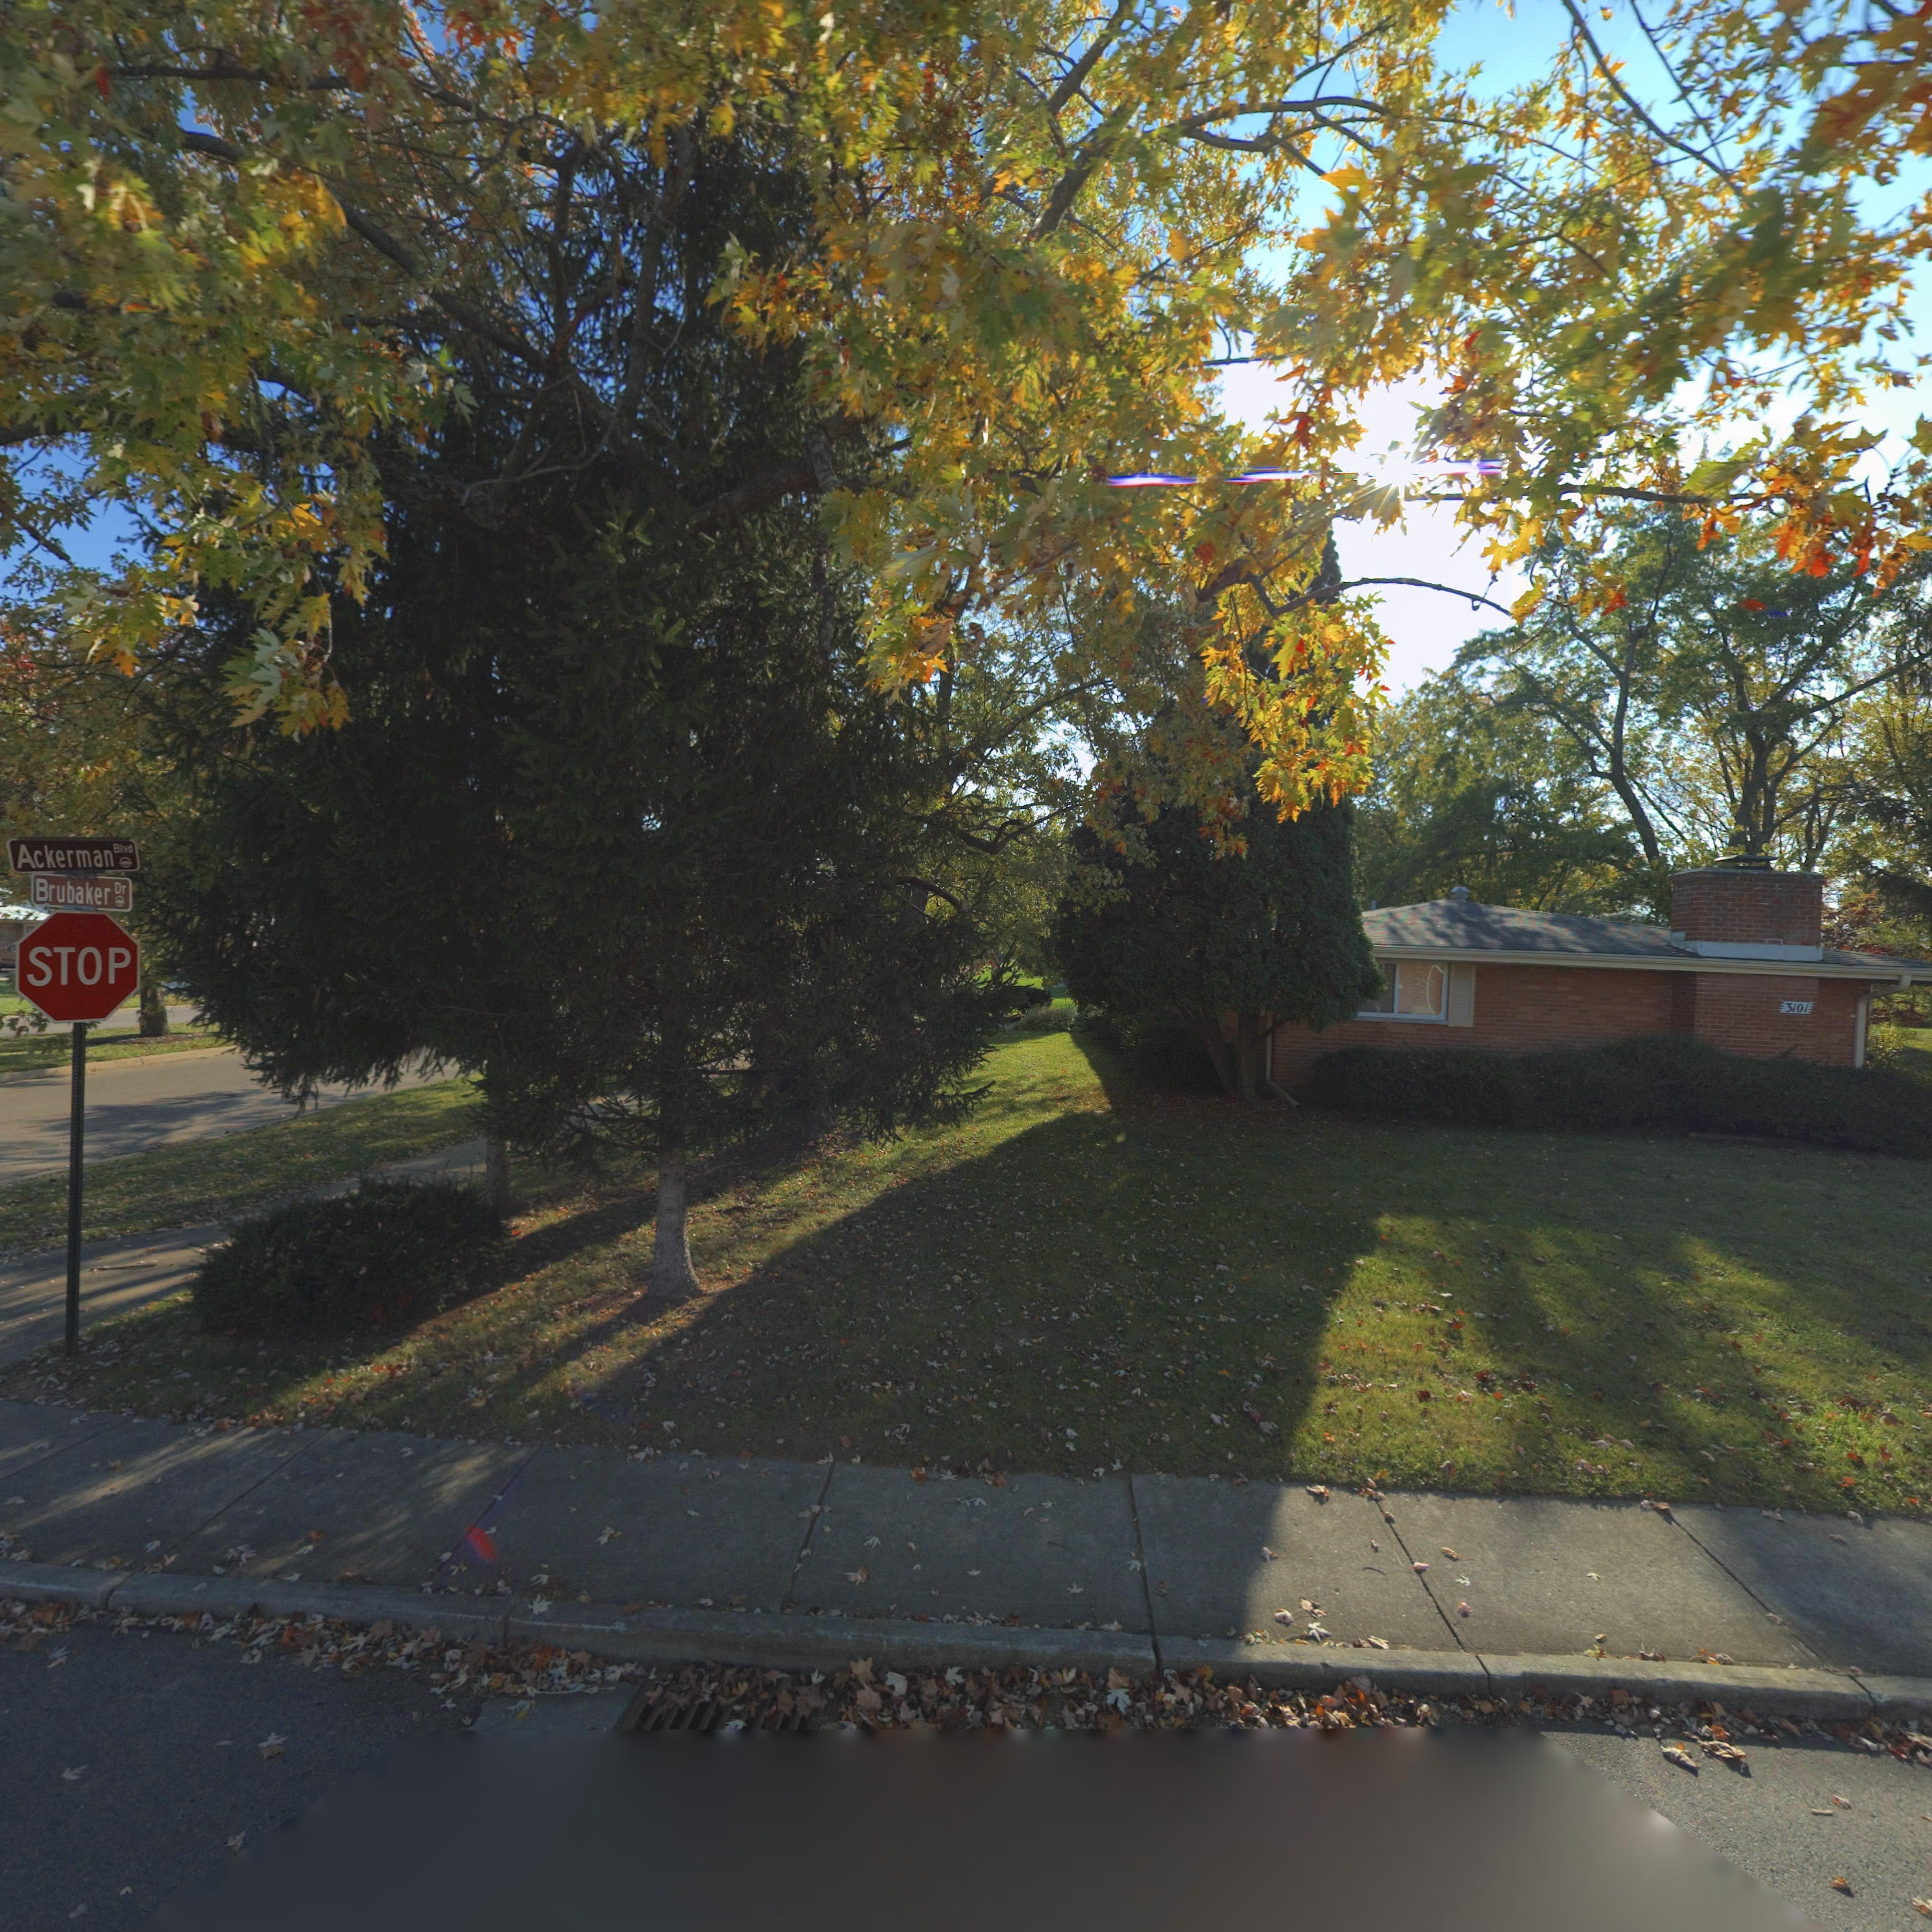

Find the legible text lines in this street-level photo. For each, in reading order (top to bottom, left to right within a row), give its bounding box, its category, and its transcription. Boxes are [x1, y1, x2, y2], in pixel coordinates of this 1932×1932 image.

[16, 842, 135, 869] StreetName: Ackerman Blvd
[35, 878, 128, 907] StreetName: Brubaker Dr
[1785, 1002, 1810, 1014] StreetNumber: 3101